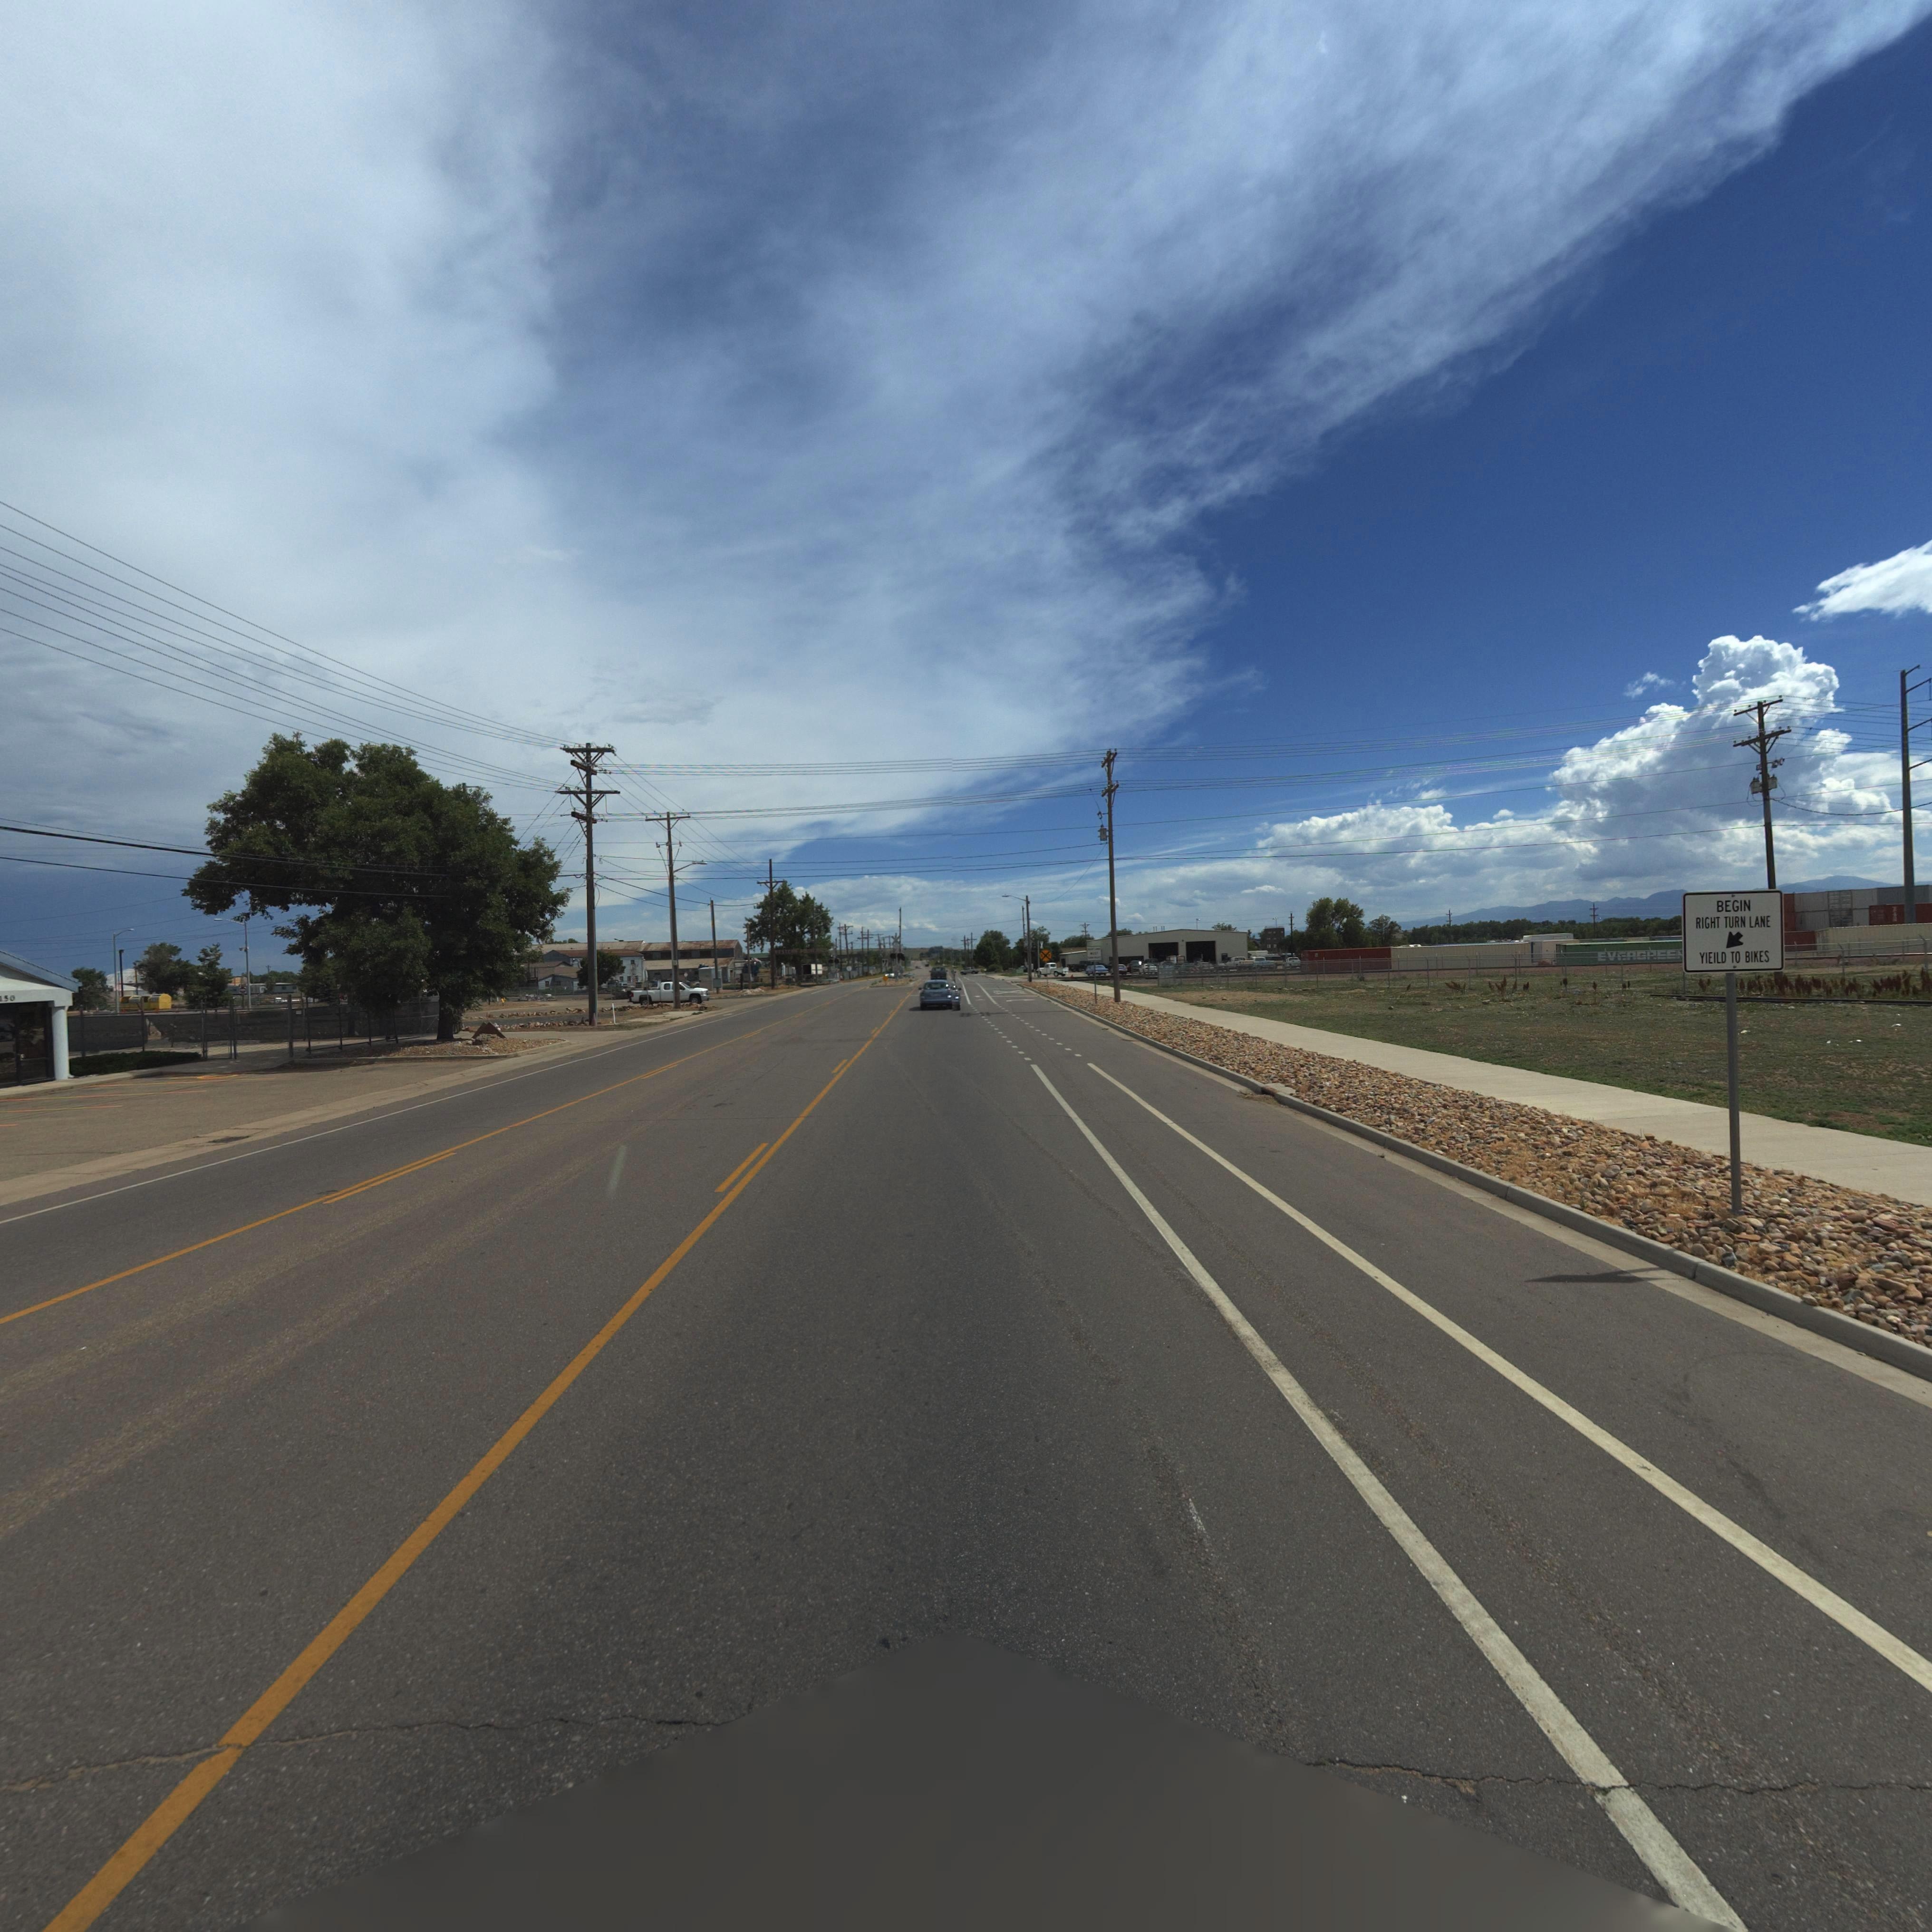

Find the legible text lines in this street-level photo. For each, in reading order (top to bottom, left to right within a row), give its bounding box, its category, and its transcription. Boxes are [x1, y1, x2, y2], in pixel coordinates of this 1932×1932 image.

[3, 994, 15, 1002] StreetNumber: 50